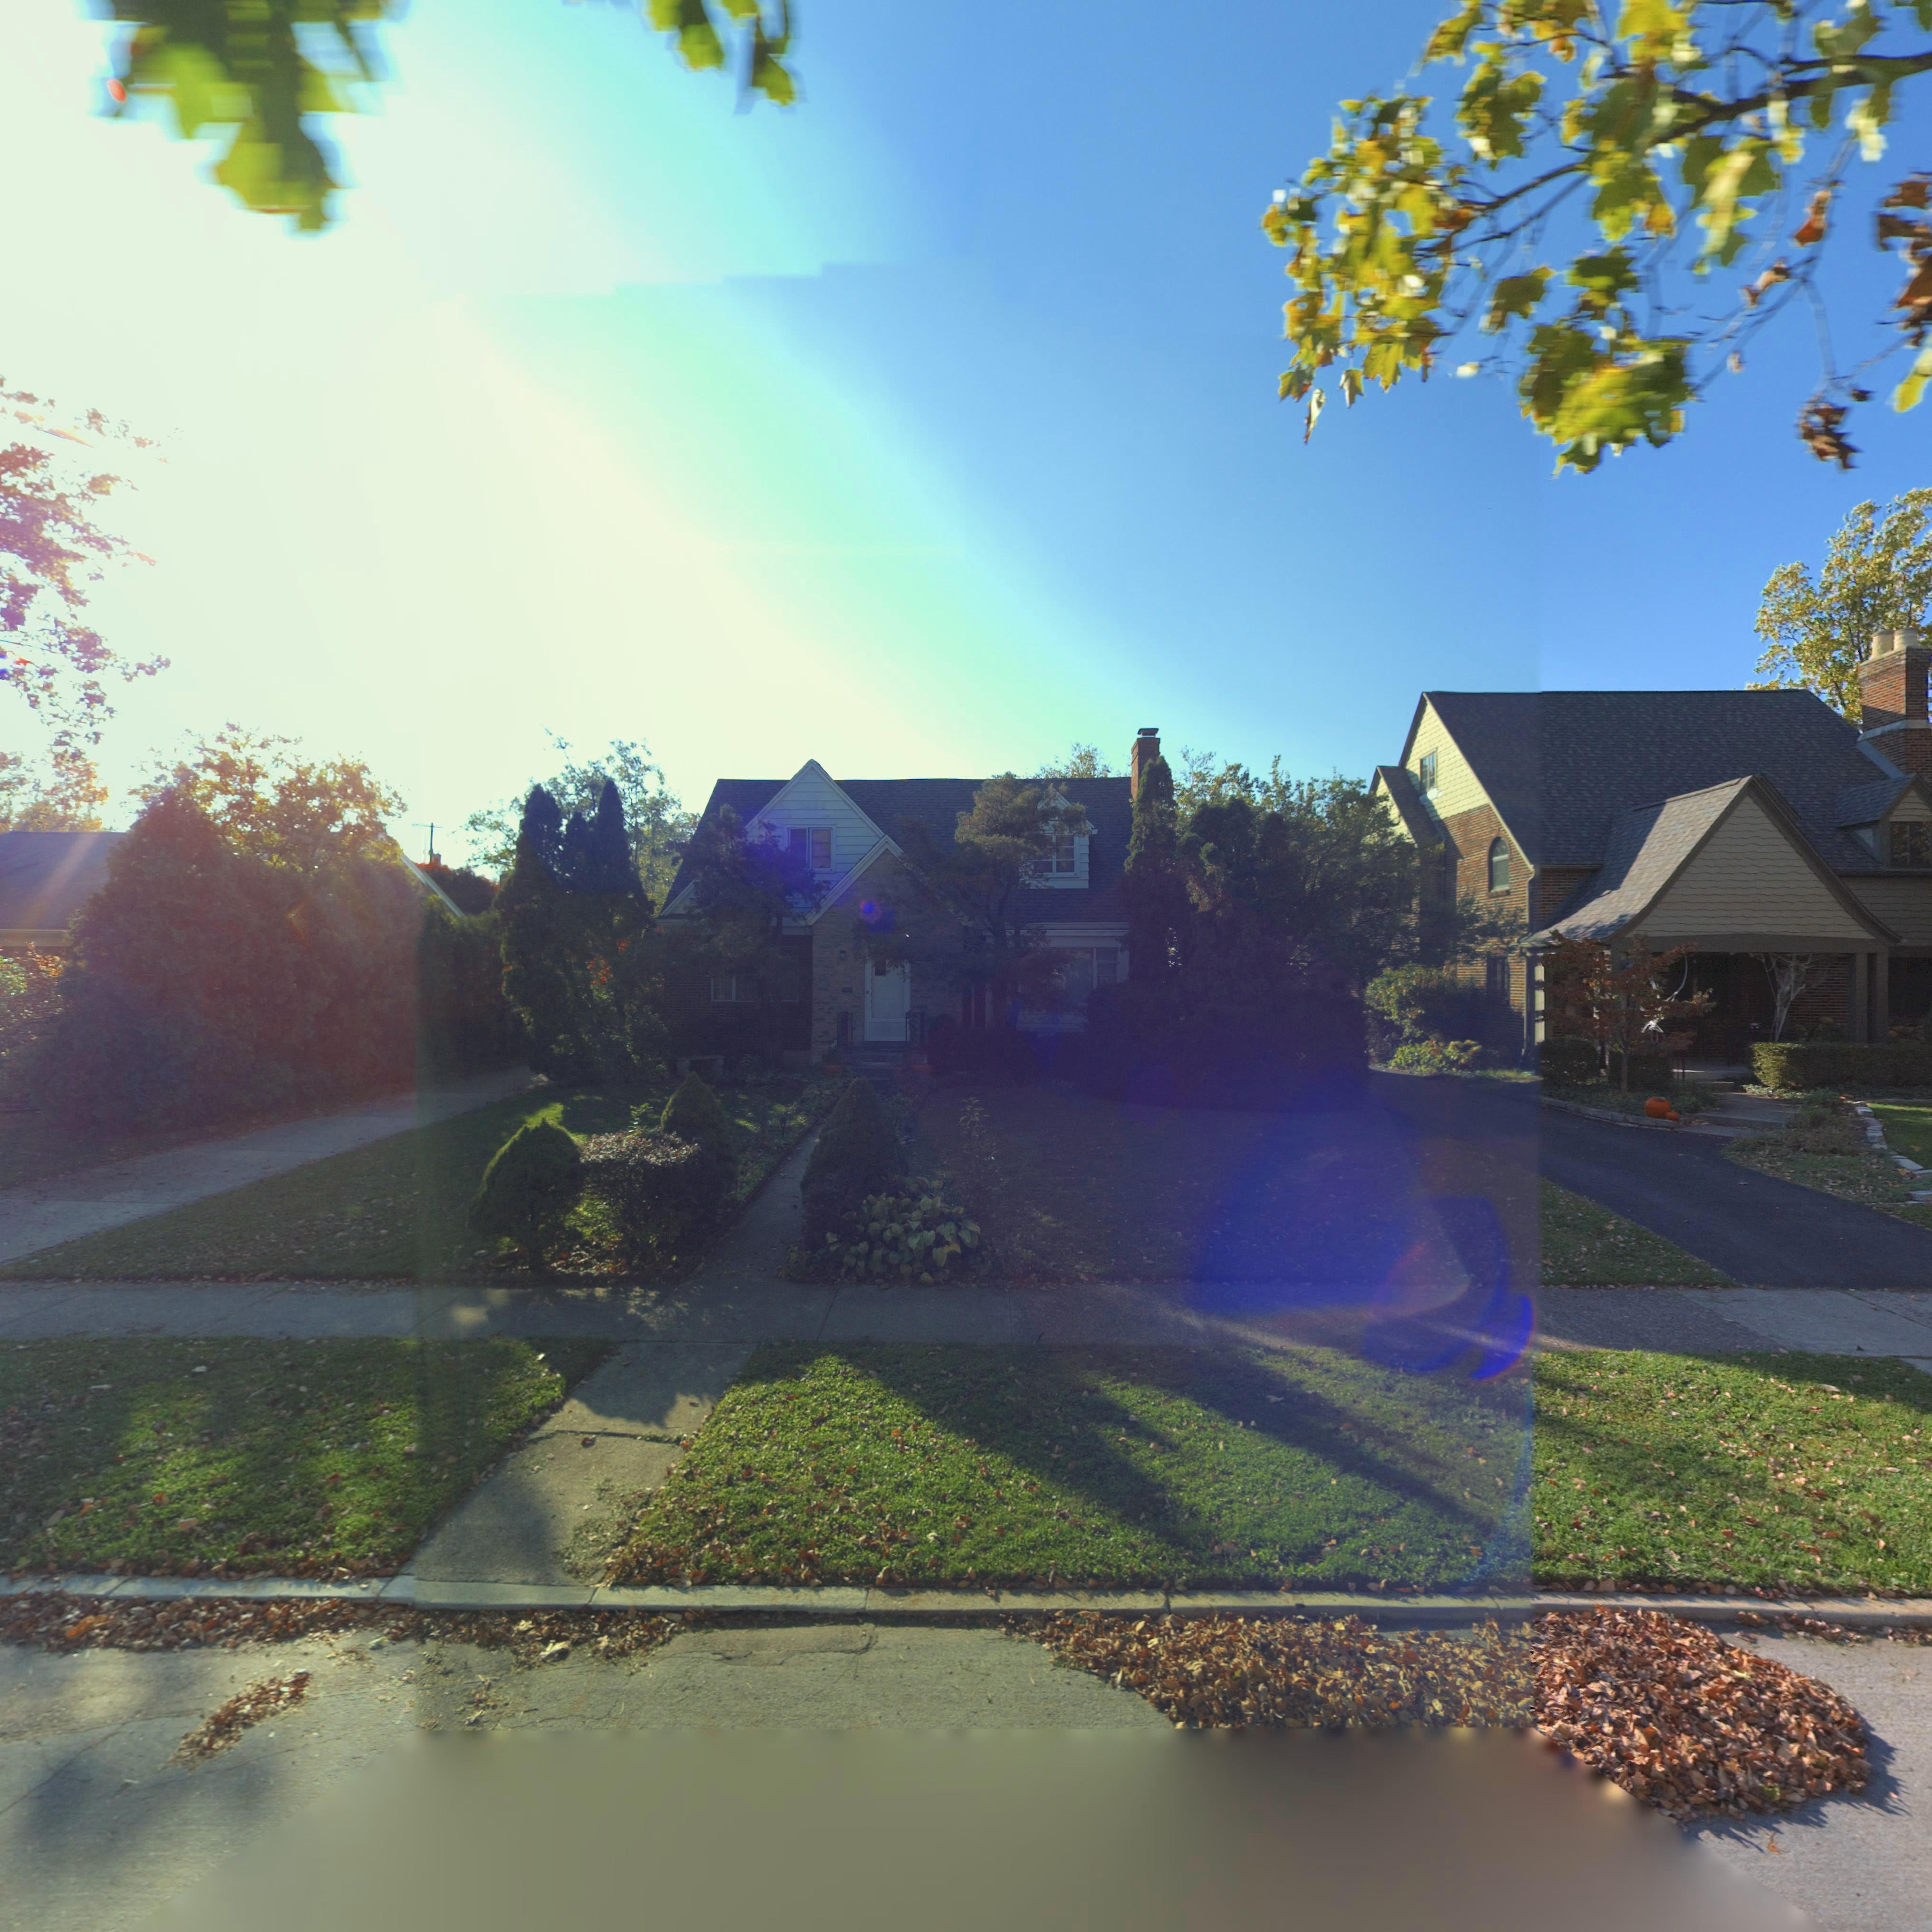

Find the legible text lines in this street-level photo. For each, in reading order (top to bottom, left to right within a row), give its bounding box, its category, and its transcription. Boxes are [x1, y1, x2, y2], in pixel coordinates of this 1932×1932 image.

[900, 965, 905, 972] StreetNumber: 3